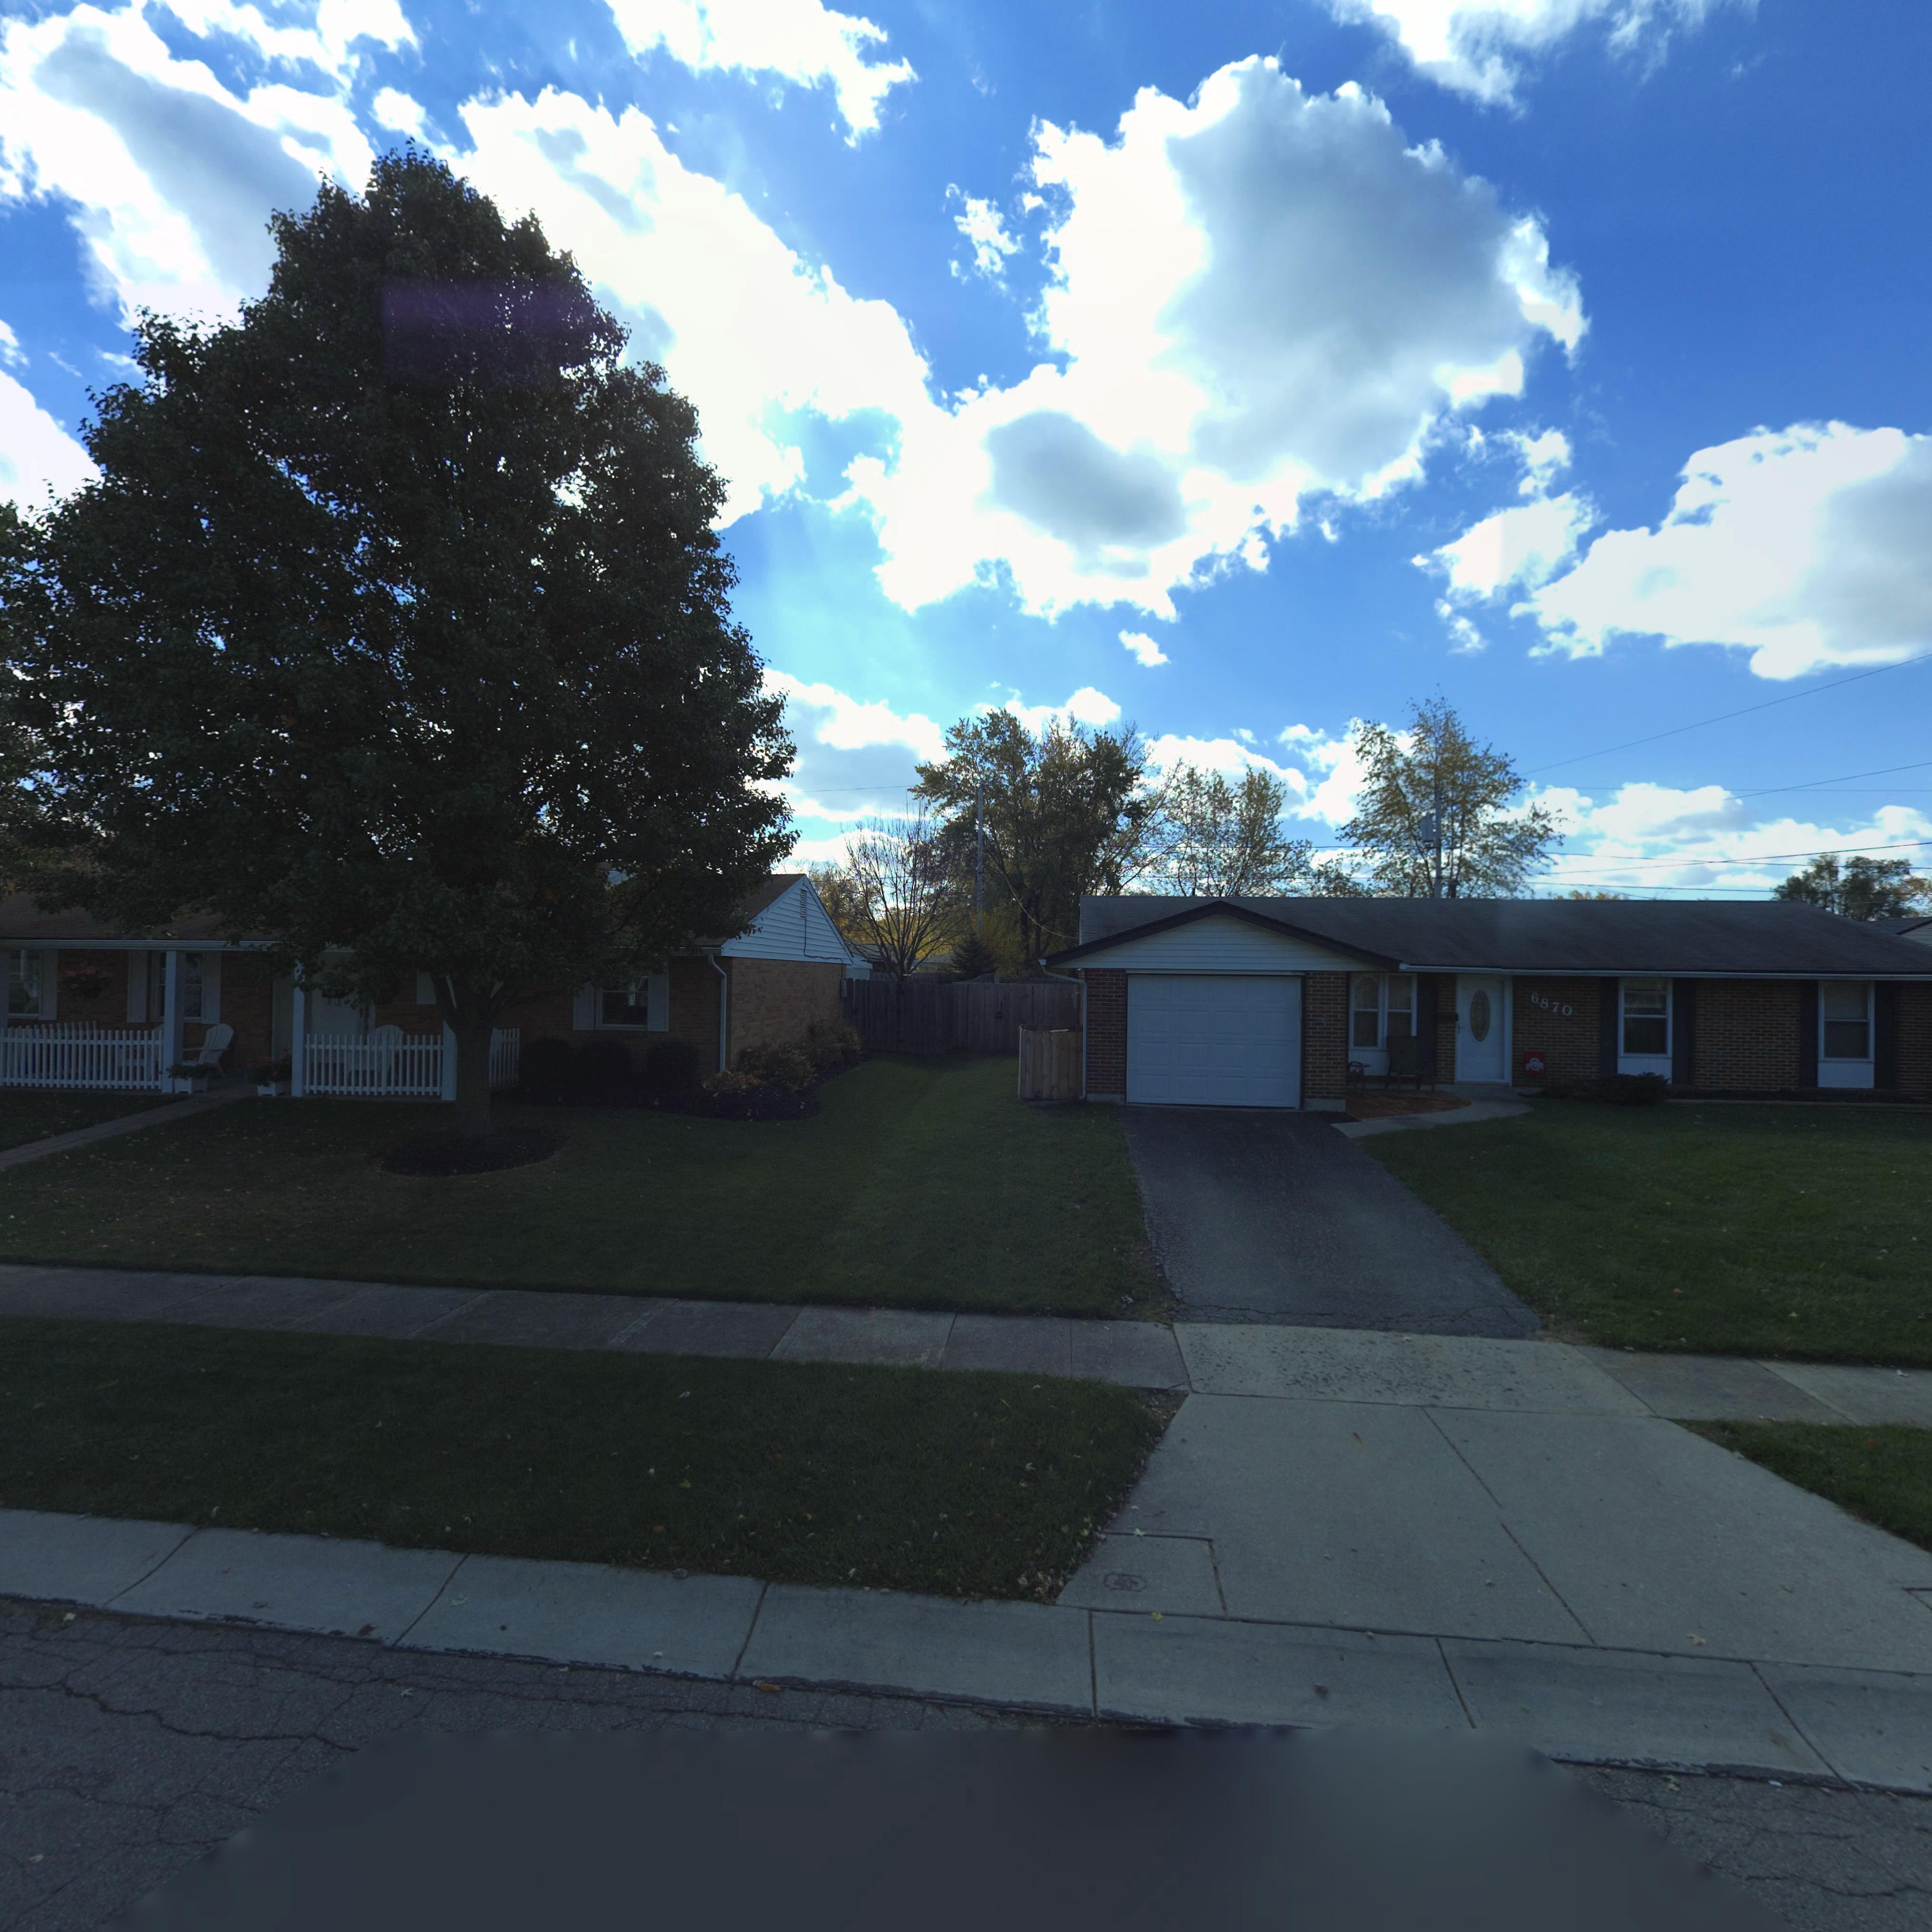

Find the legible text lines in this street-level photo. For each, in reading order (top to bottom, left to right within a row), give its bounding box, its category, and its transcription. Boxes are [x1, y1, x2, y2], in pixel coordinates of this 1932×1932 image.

[1530, 992, 1573, 1017] StreetNumber: 6870